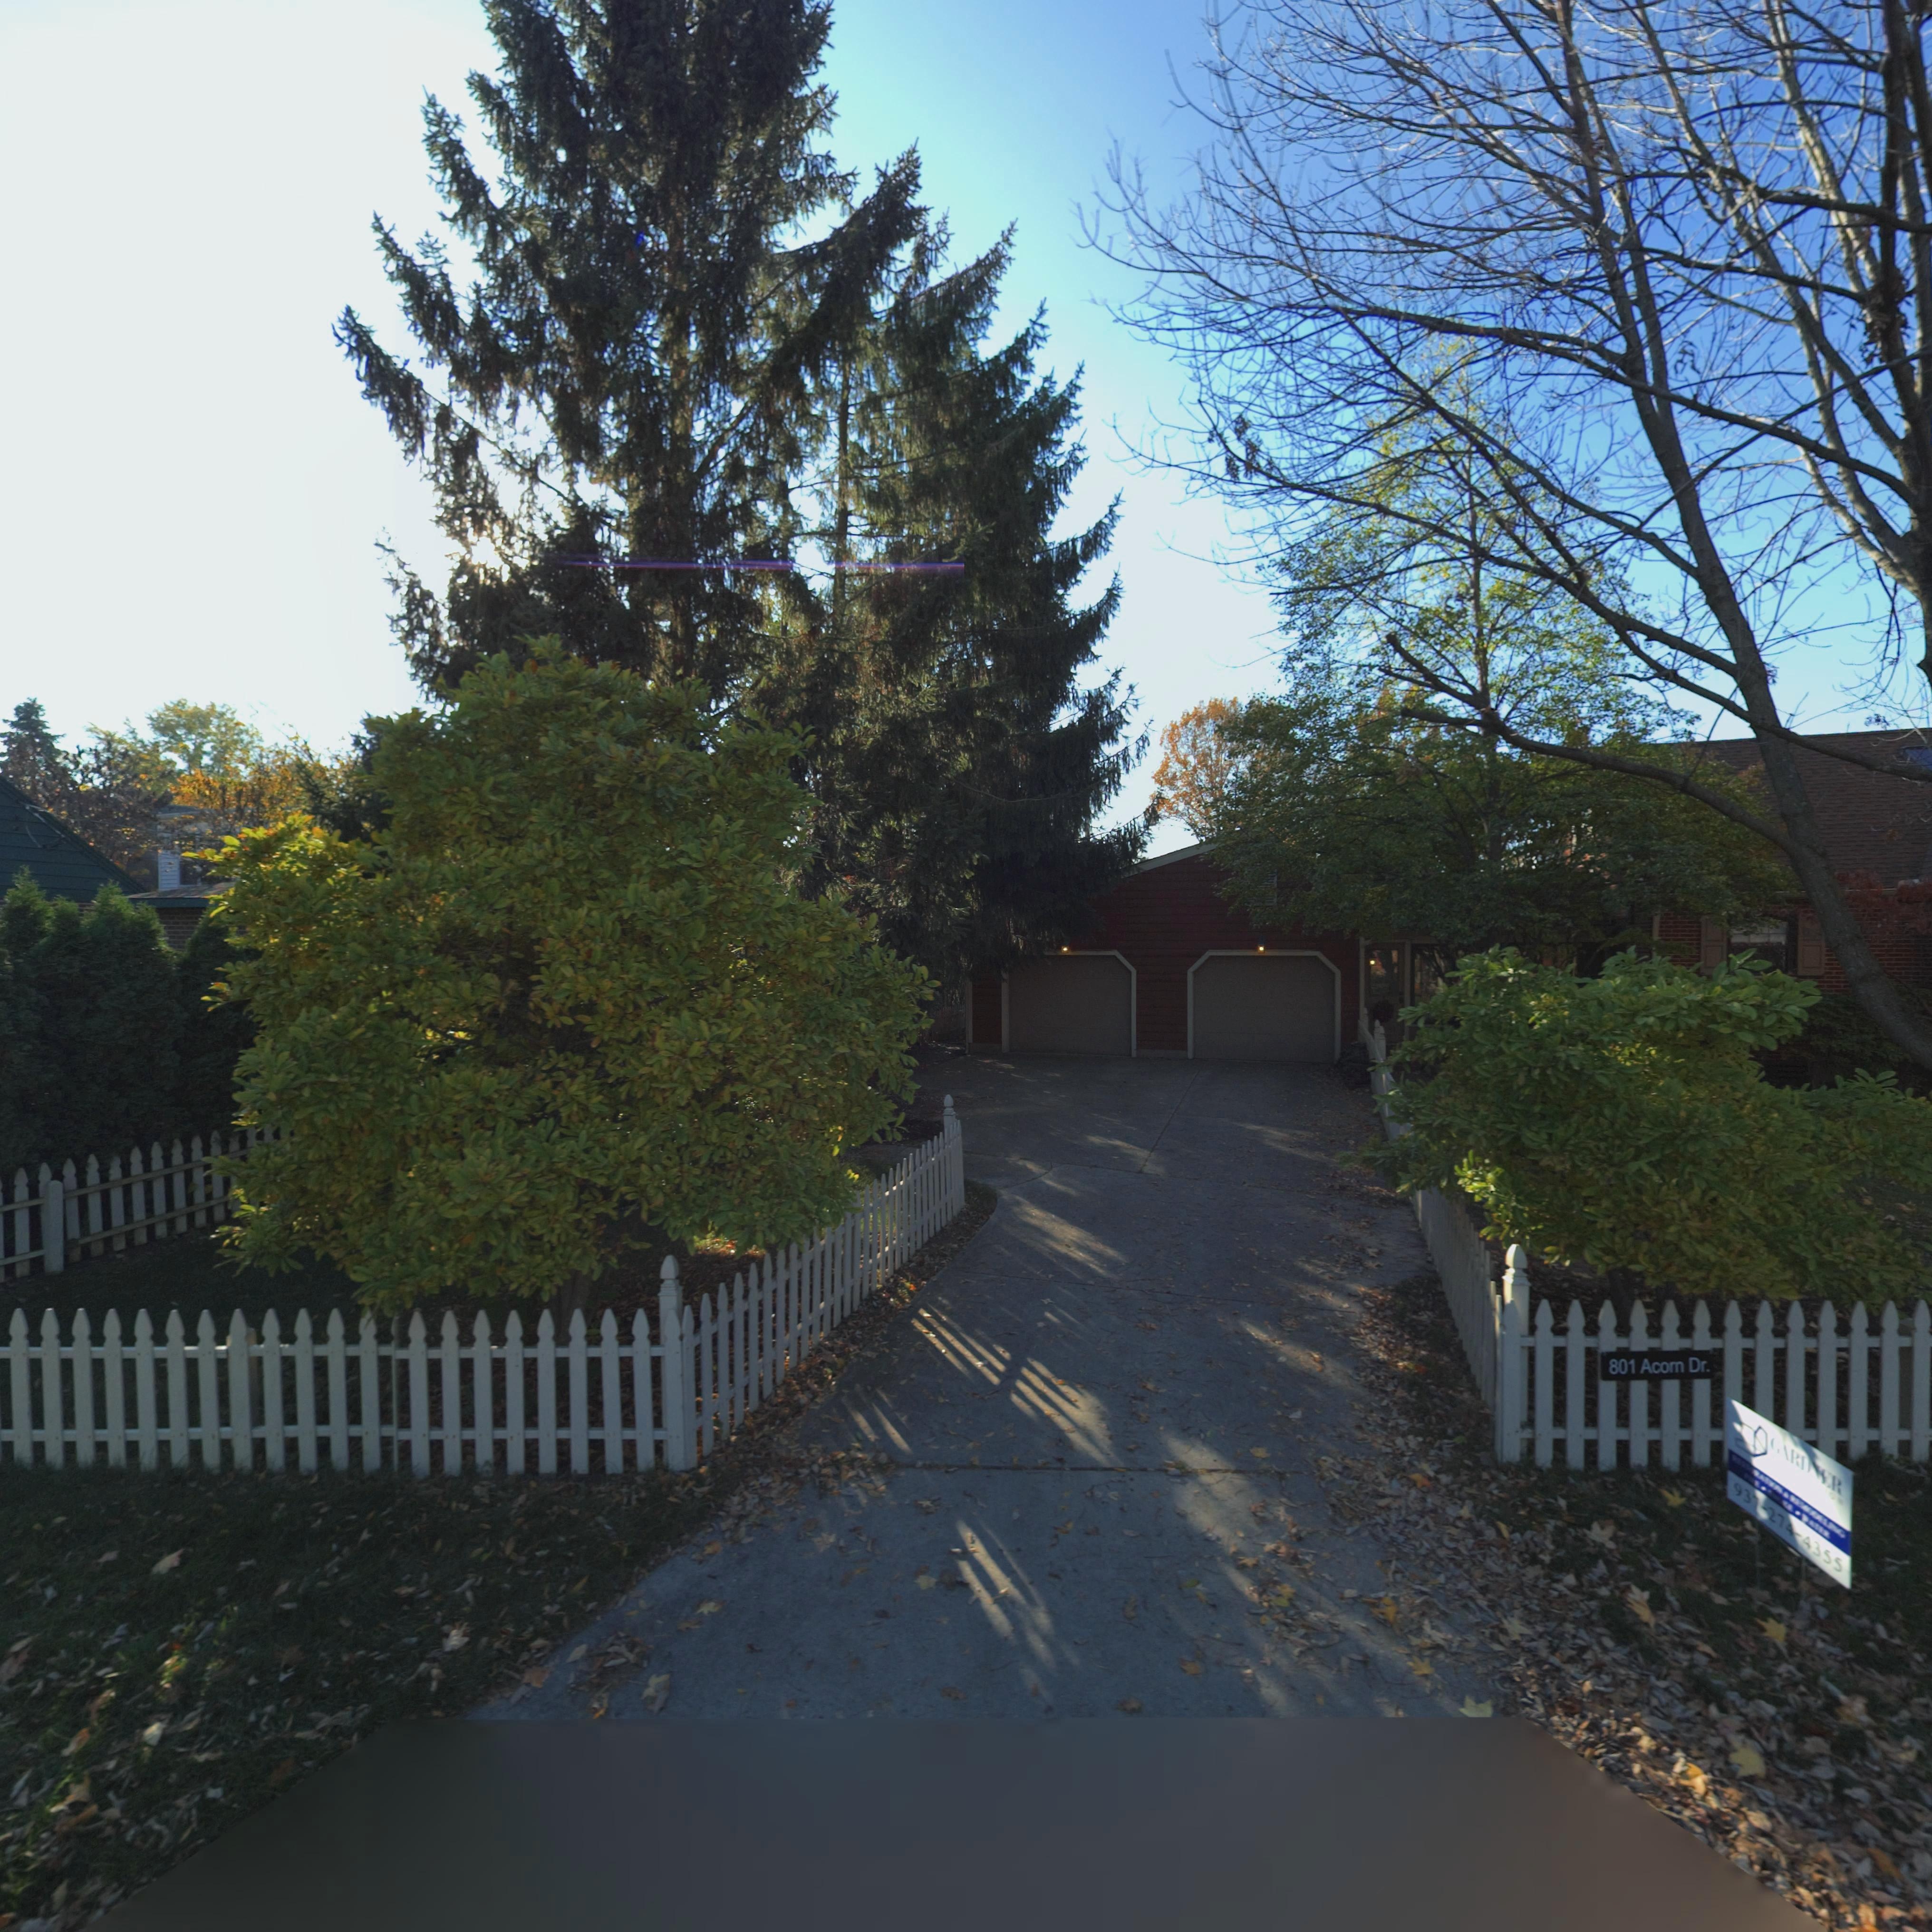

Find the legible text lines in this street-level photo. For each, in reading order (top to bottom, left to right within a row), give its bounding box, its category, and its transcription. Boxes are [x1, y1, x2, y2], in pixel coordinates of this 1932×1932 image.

[1607, 1357, 1636, 1375] StreetNumber: 801
[1638, 1356, 1711, 1375] StreetName: Acorn Dr.